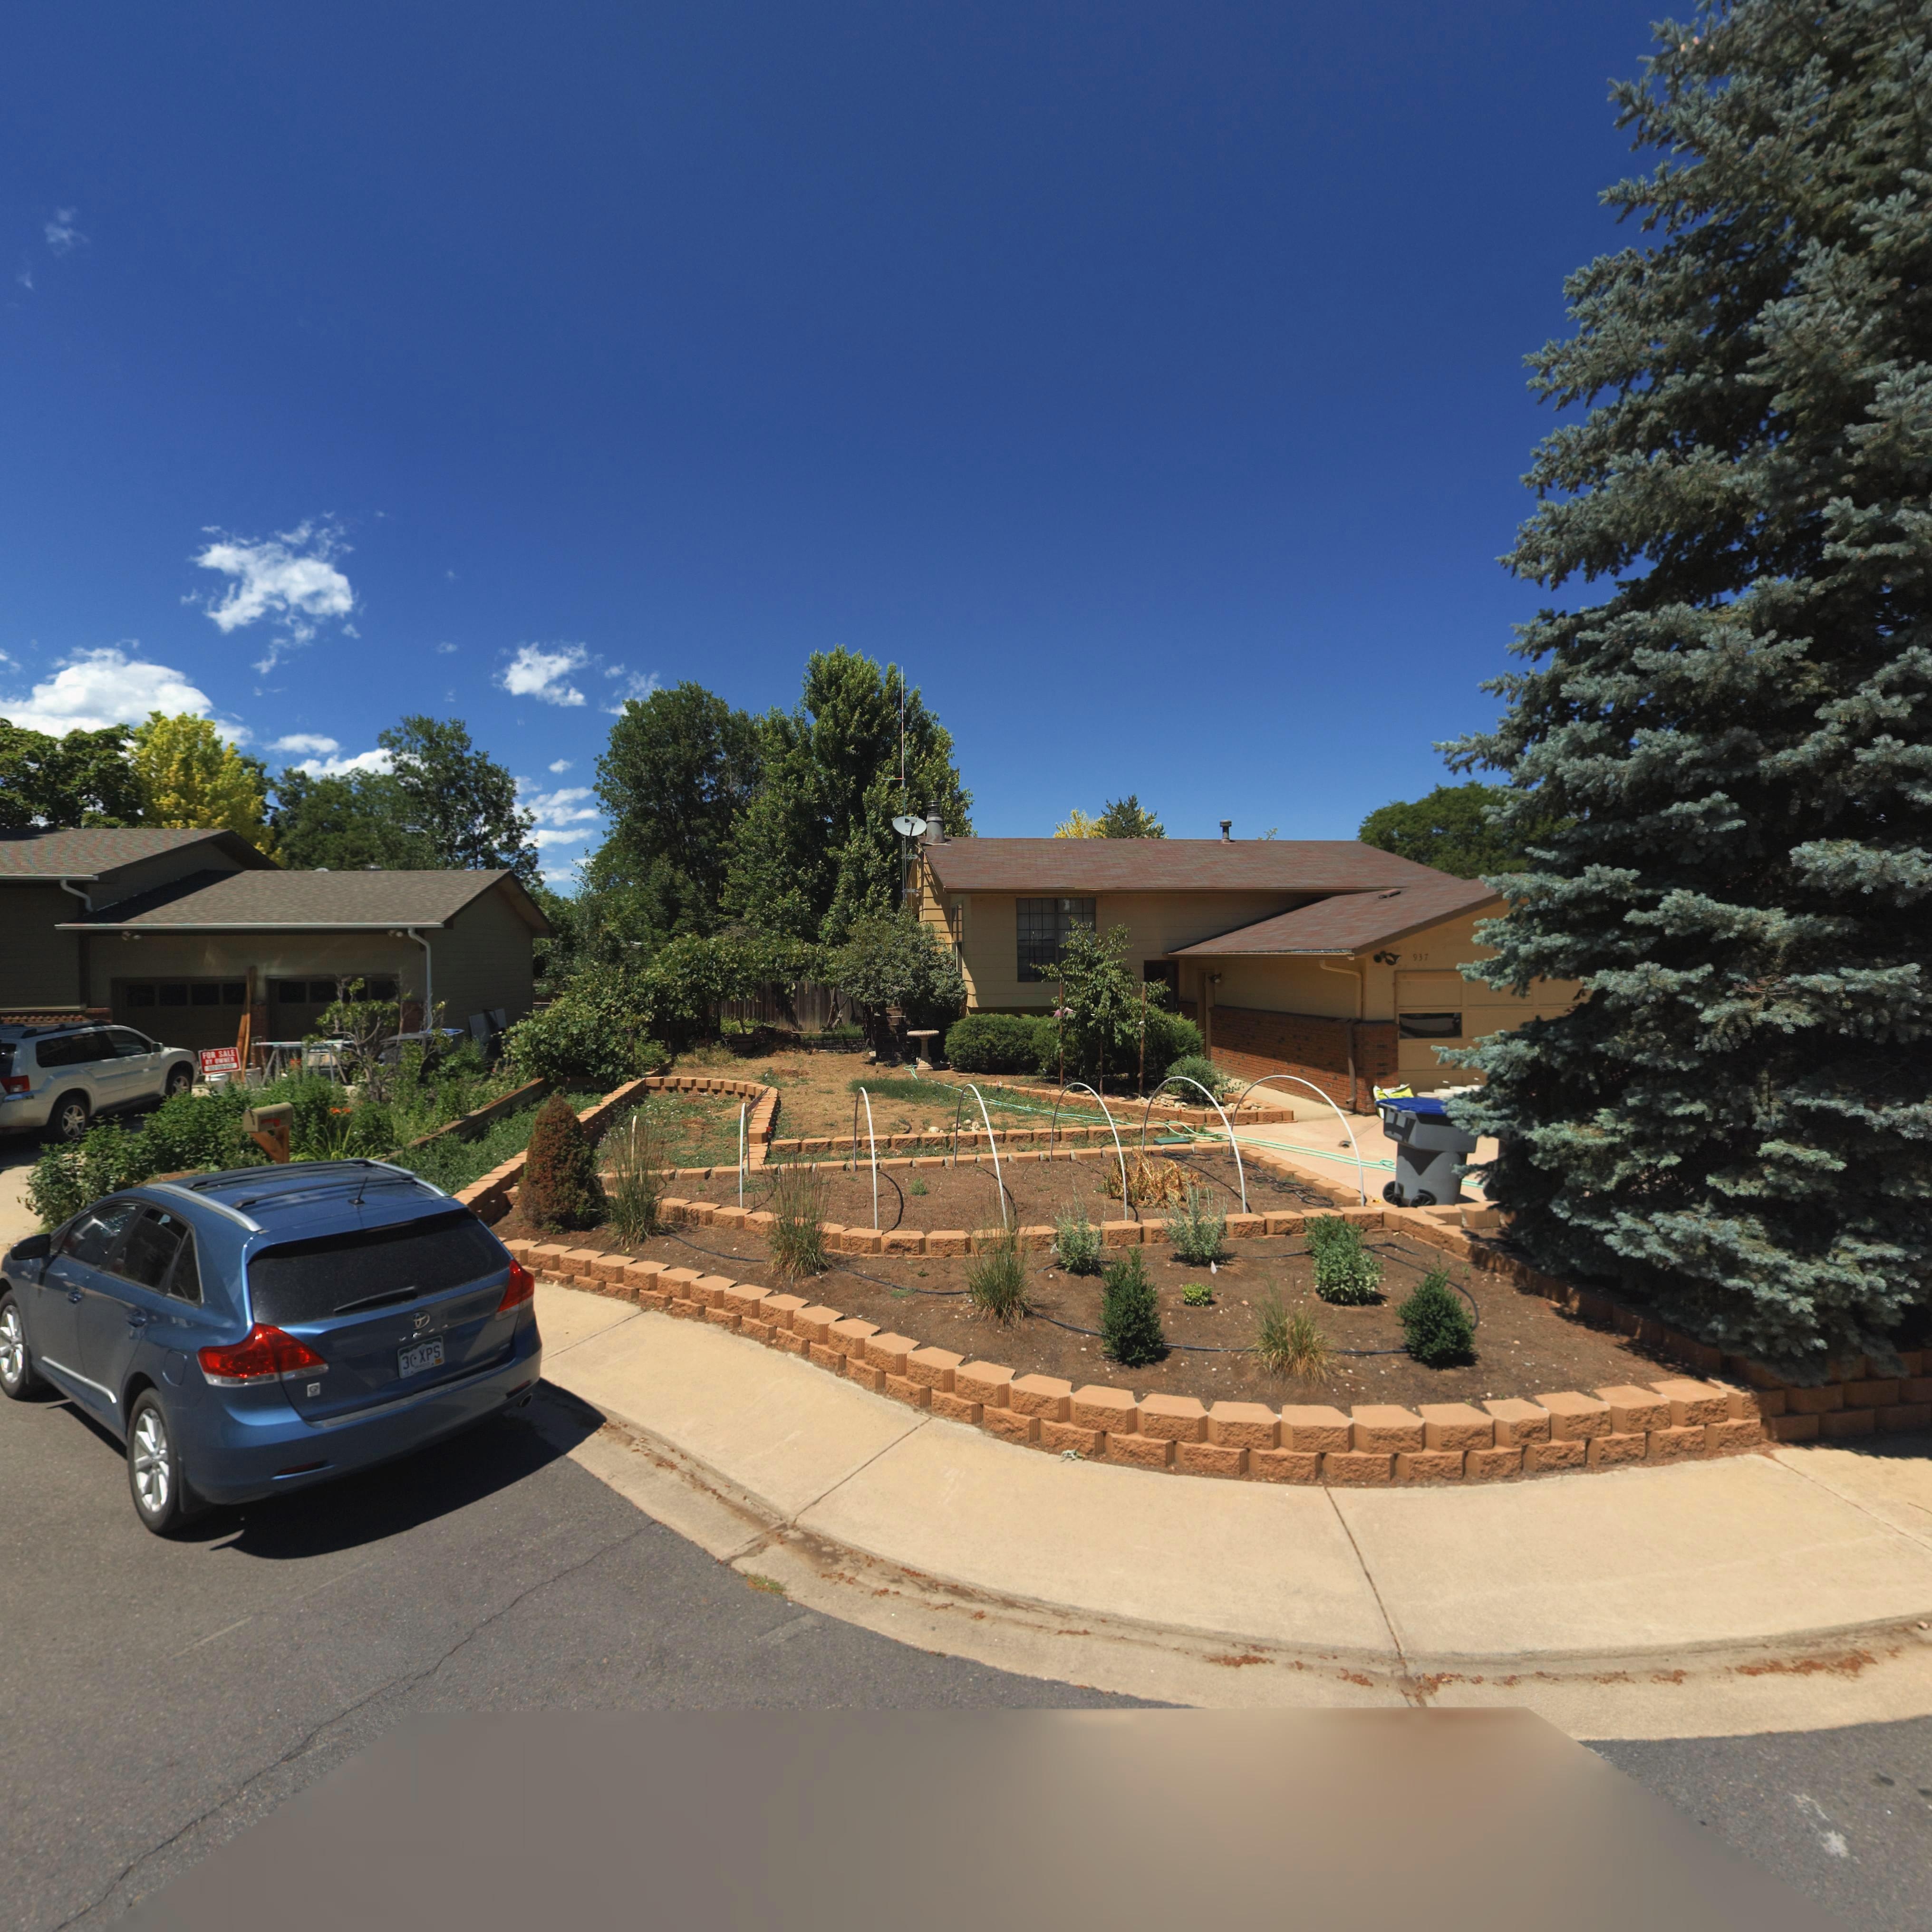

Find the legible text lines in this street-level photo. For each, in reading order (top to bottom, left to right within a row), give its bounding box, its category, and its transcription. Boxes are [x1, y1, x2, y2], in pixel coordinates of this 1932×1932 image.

[1412, 953, 1429, 961] StreetNumber: 937